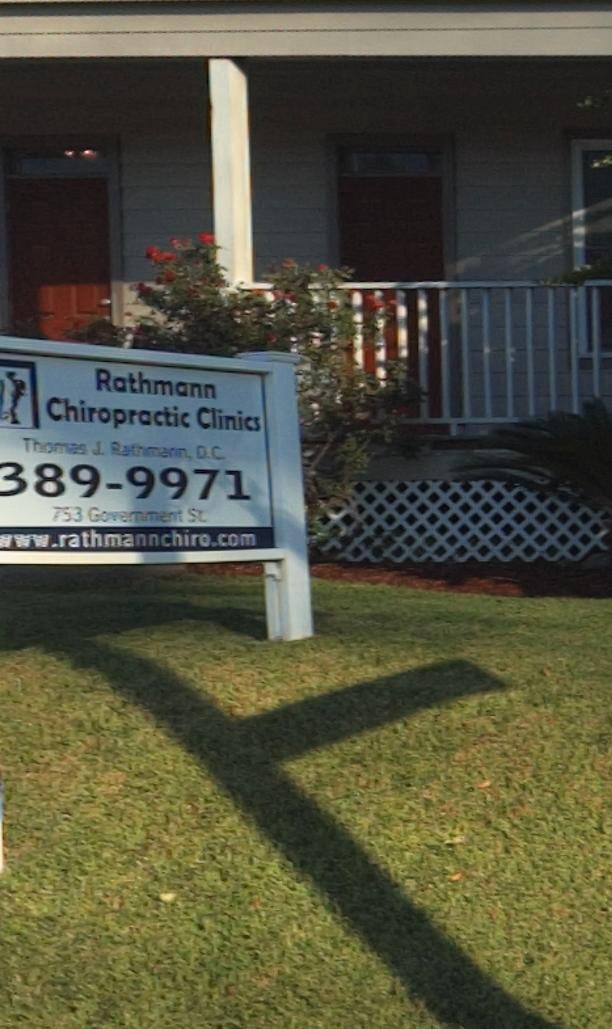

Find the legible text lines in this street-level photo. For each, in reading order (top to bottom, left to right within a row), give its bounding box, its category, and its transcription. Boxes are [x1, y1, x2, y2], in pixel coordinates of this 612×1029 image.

[90, 362, 224, 403] BusinessName: Rathmann
[44, 391, 266, 437] BusinessName: Chiropractic Clinics
[17, 434, 231, 464] None: Thomas J. Rathmann, D.C.
[29, 463, 257, 505] None: 89-9971
[45, 503, 87, 527] StreetNumber: 753
[86, 504, 214, 528] StreetName: Government St.
[5, 527, 260, 555] None: ww.rathmannchiro.com